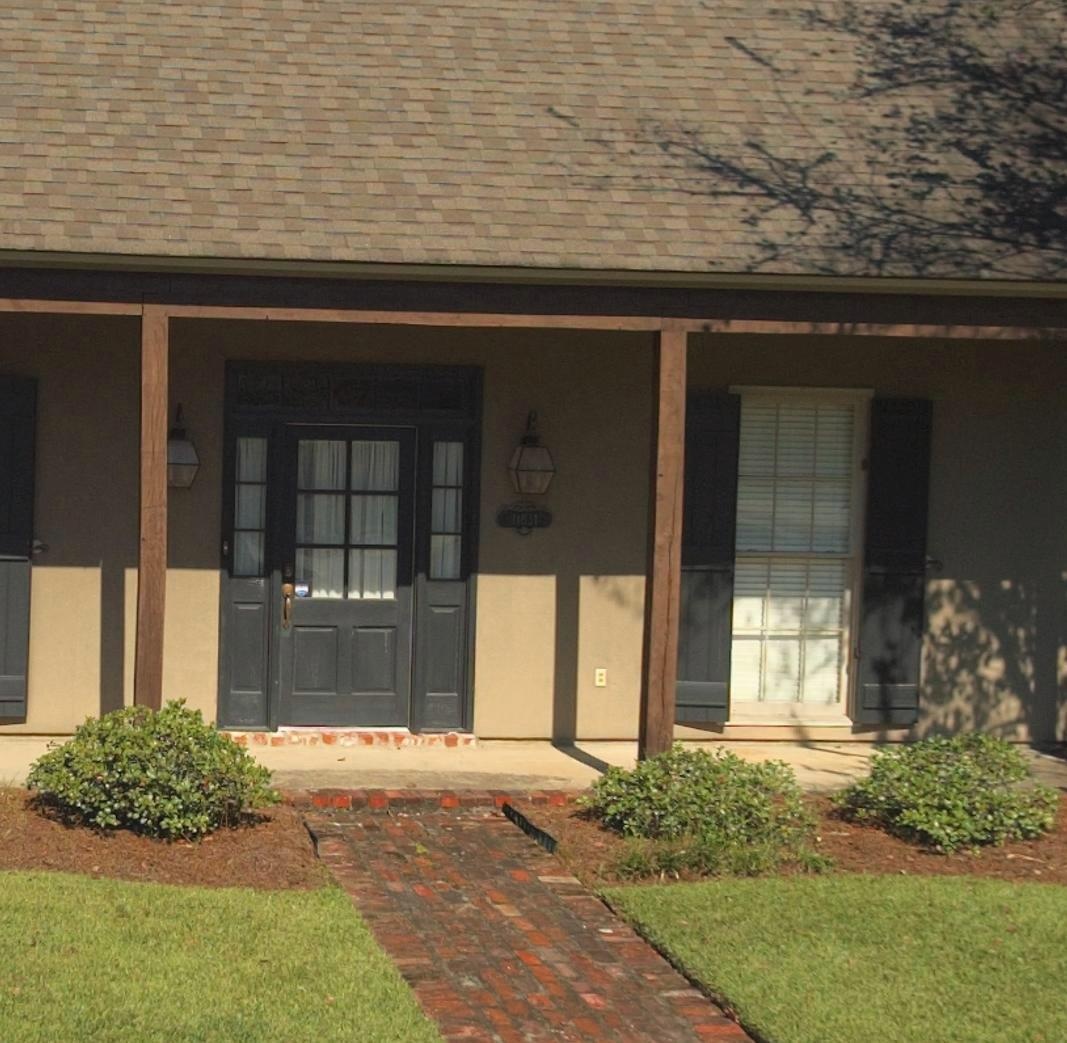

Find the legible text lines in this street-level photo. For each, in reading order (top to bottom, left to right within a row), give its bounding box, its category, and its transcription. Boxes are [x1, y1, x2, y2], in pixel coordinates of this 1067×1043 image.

[510, 512, 538, 526] StreetNumber: 11831